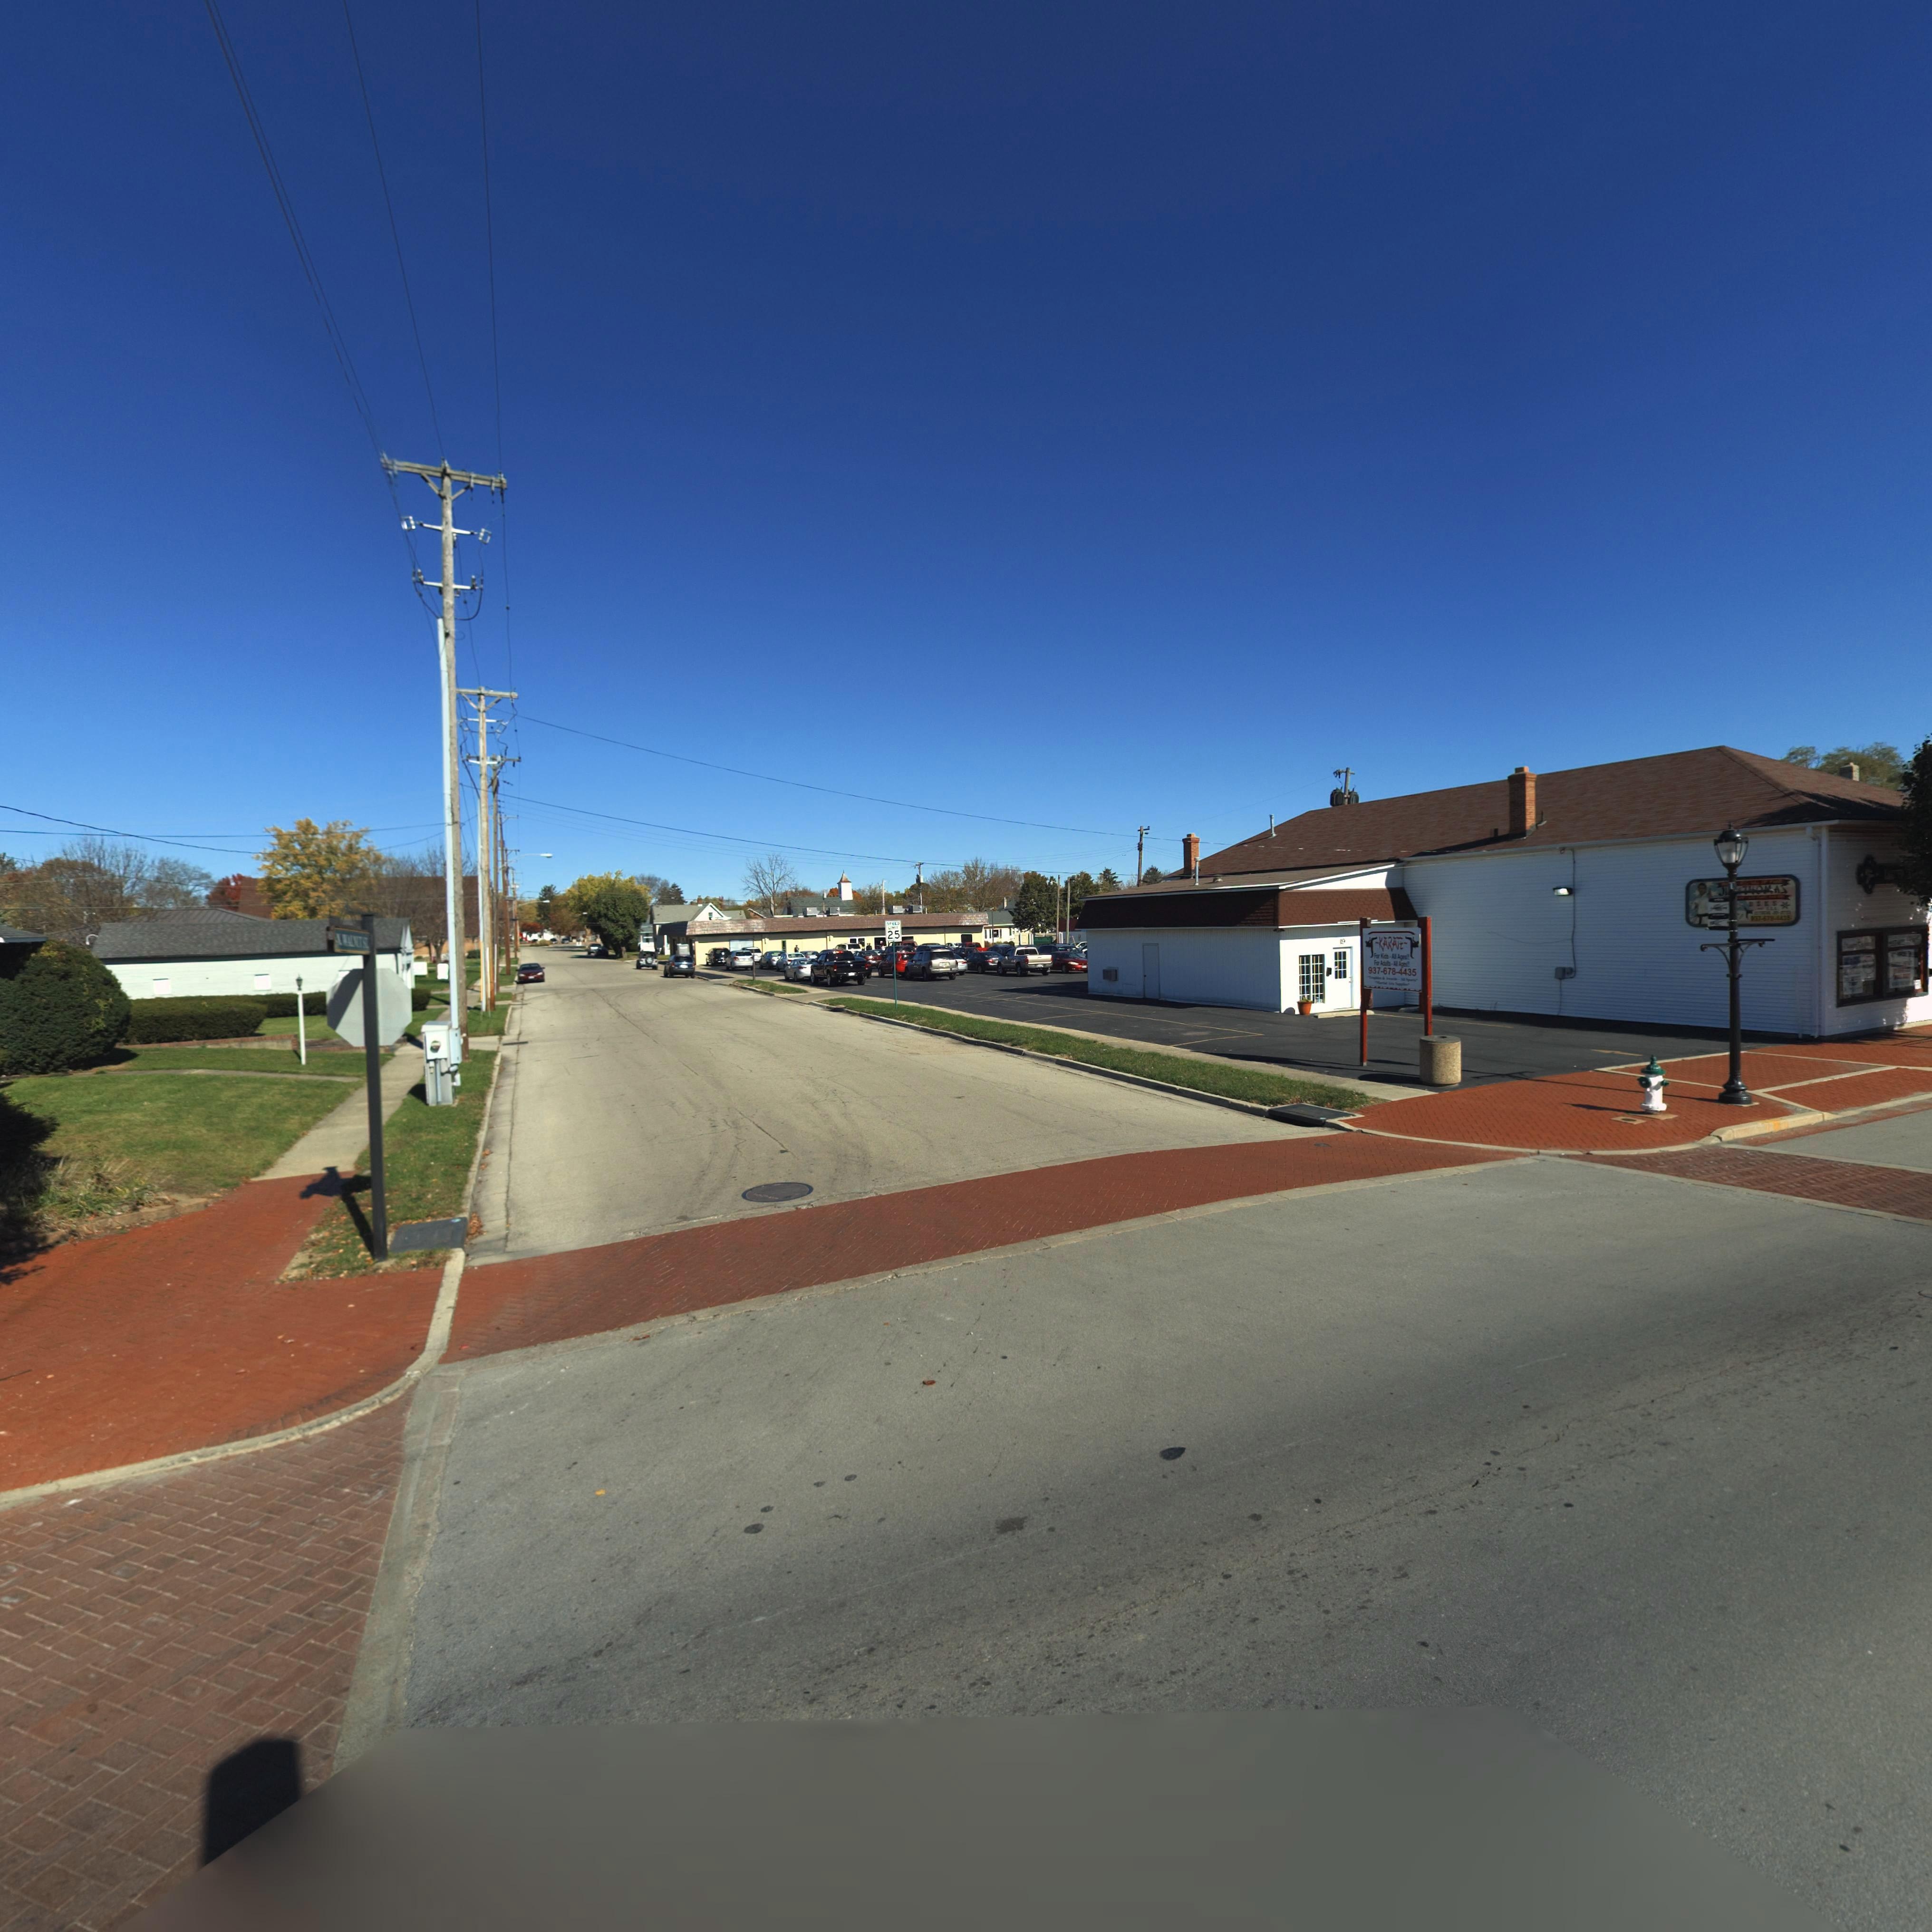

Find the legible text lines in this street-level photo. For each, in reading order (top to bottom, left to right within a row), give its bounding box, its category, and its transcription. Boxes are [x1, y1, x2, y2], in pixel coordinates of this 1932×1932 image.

[1340, 938, 1346, 945] StreetNumber: 19
[1378, 936, 1404, 952] BusinessName: KARATE